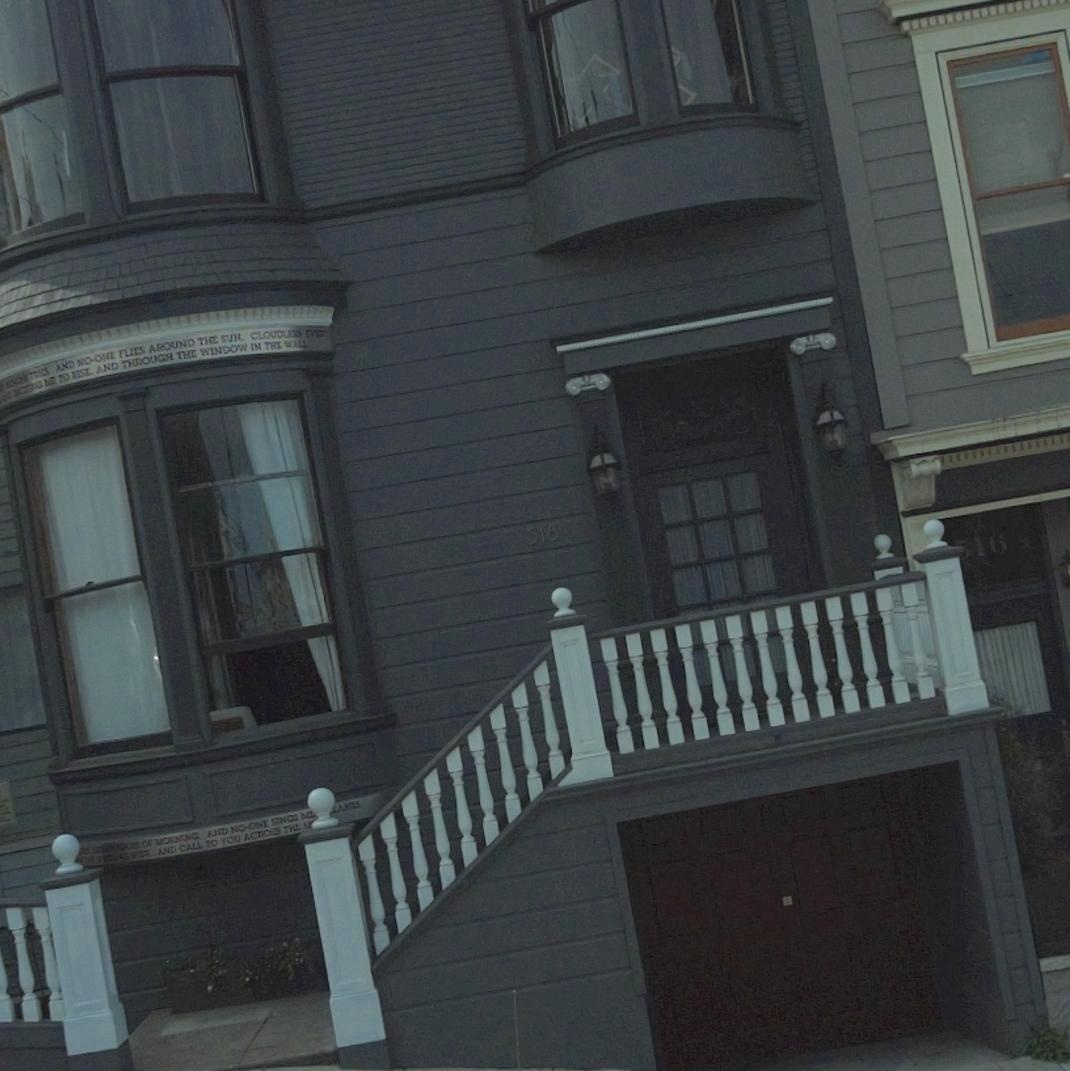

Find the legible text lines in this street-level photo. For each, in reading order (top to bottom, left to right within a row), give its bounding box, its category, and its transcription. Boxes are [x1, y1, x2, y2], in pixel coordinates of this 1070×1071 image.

[54, 328, 303, 374] None: AND NO-ONE FLIES AROUND THE SUN. CLOUDLESS
[57, 338, 310, 385] None: TO RISE AND THROUGH THE WINDOW IN THE WALL
[525, 526, 559, 547] StreetNumber: 518
[954, 530, 1010, 562] StreetNumber: *16
[139, 811, 302, 849] None: OF MOANING AND NO-ON SINGS
[155, 822, 305, 857] None: AND CALL TO YOU ACROSS THE